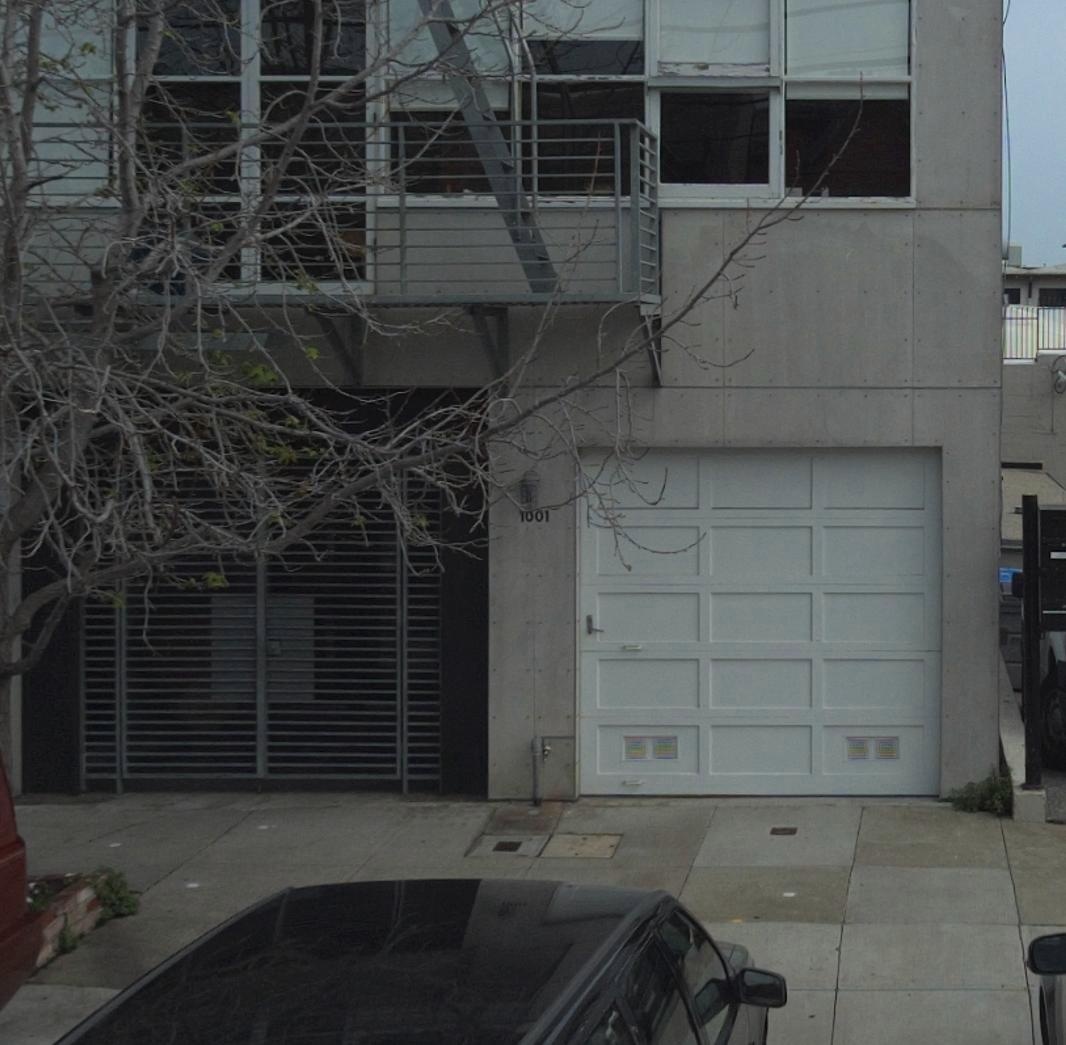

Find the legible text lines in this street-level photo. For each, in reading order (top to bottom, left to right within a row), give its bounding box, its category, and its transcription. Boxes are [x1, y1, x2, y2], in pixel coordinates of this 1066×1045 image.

[518, 508, 551, 524] StreetNumber: 1001